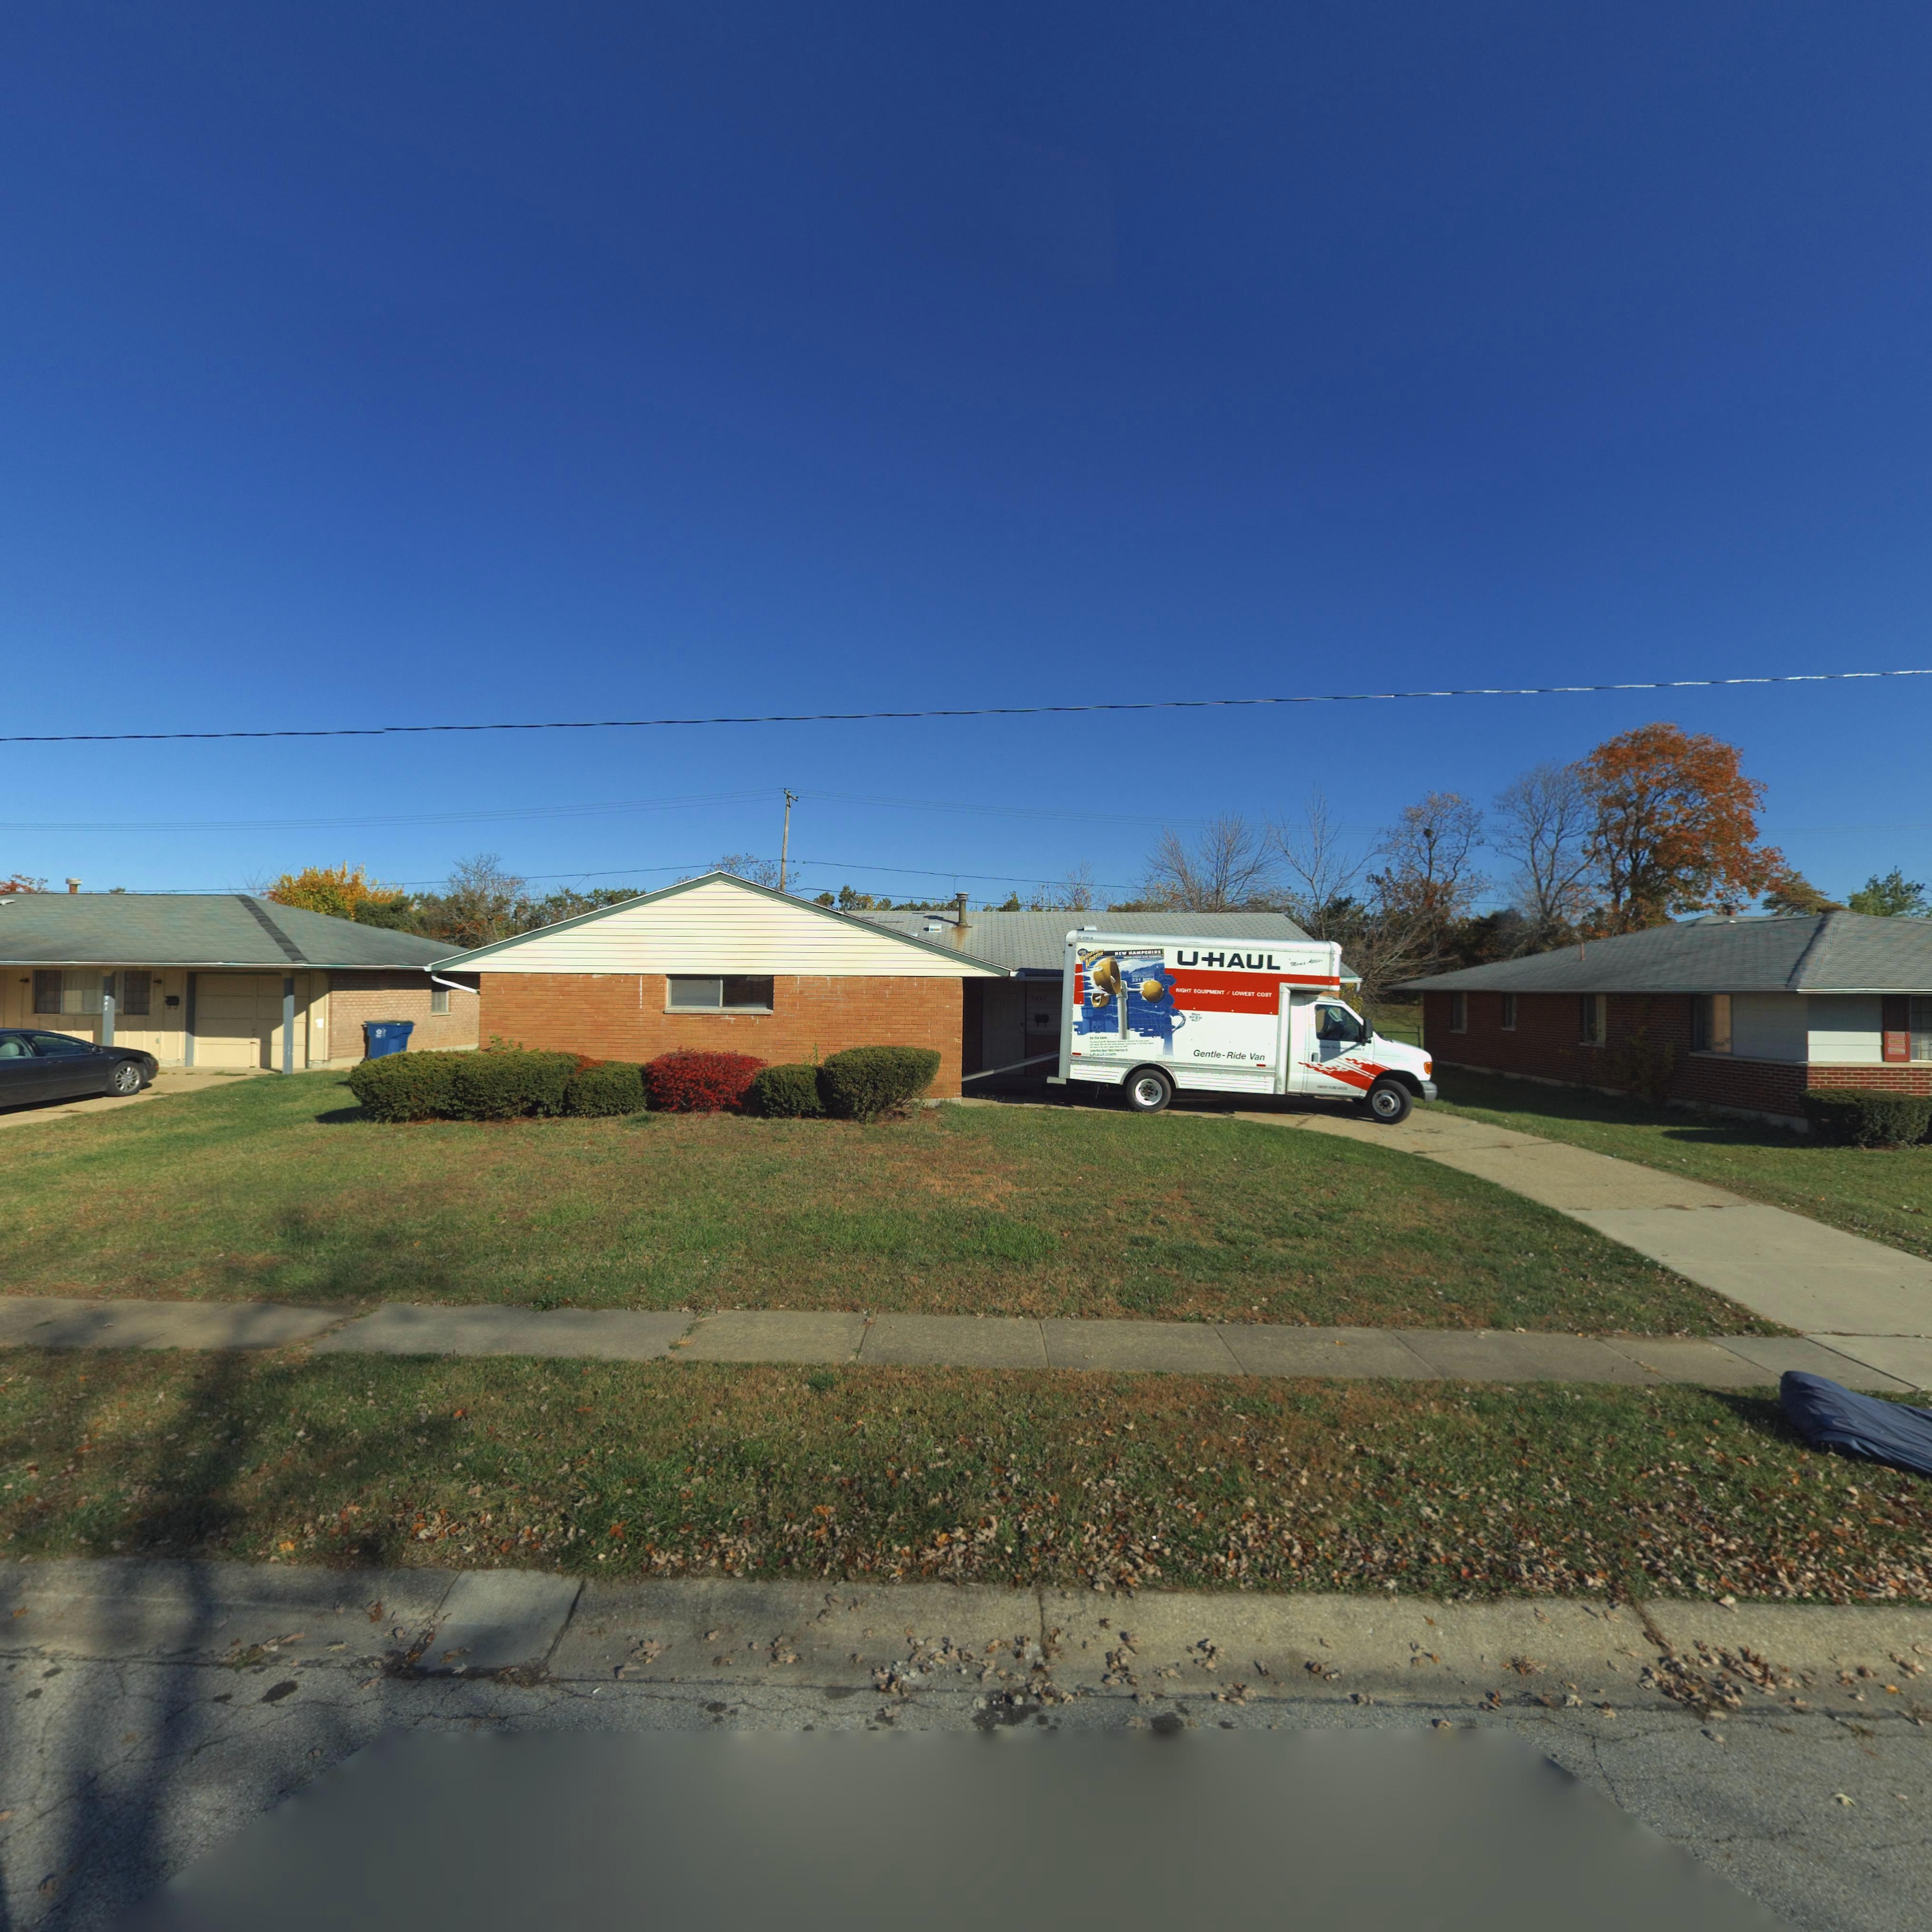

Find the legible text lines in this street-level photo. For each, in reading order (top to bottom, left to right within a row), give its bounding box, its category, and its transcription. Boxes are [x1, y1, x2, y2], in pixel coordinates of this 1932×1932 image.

[103, 990, 110, 1012] StreetNumber: 79**
[1031, 995, 1047, 1002] StreetNumber: 7947